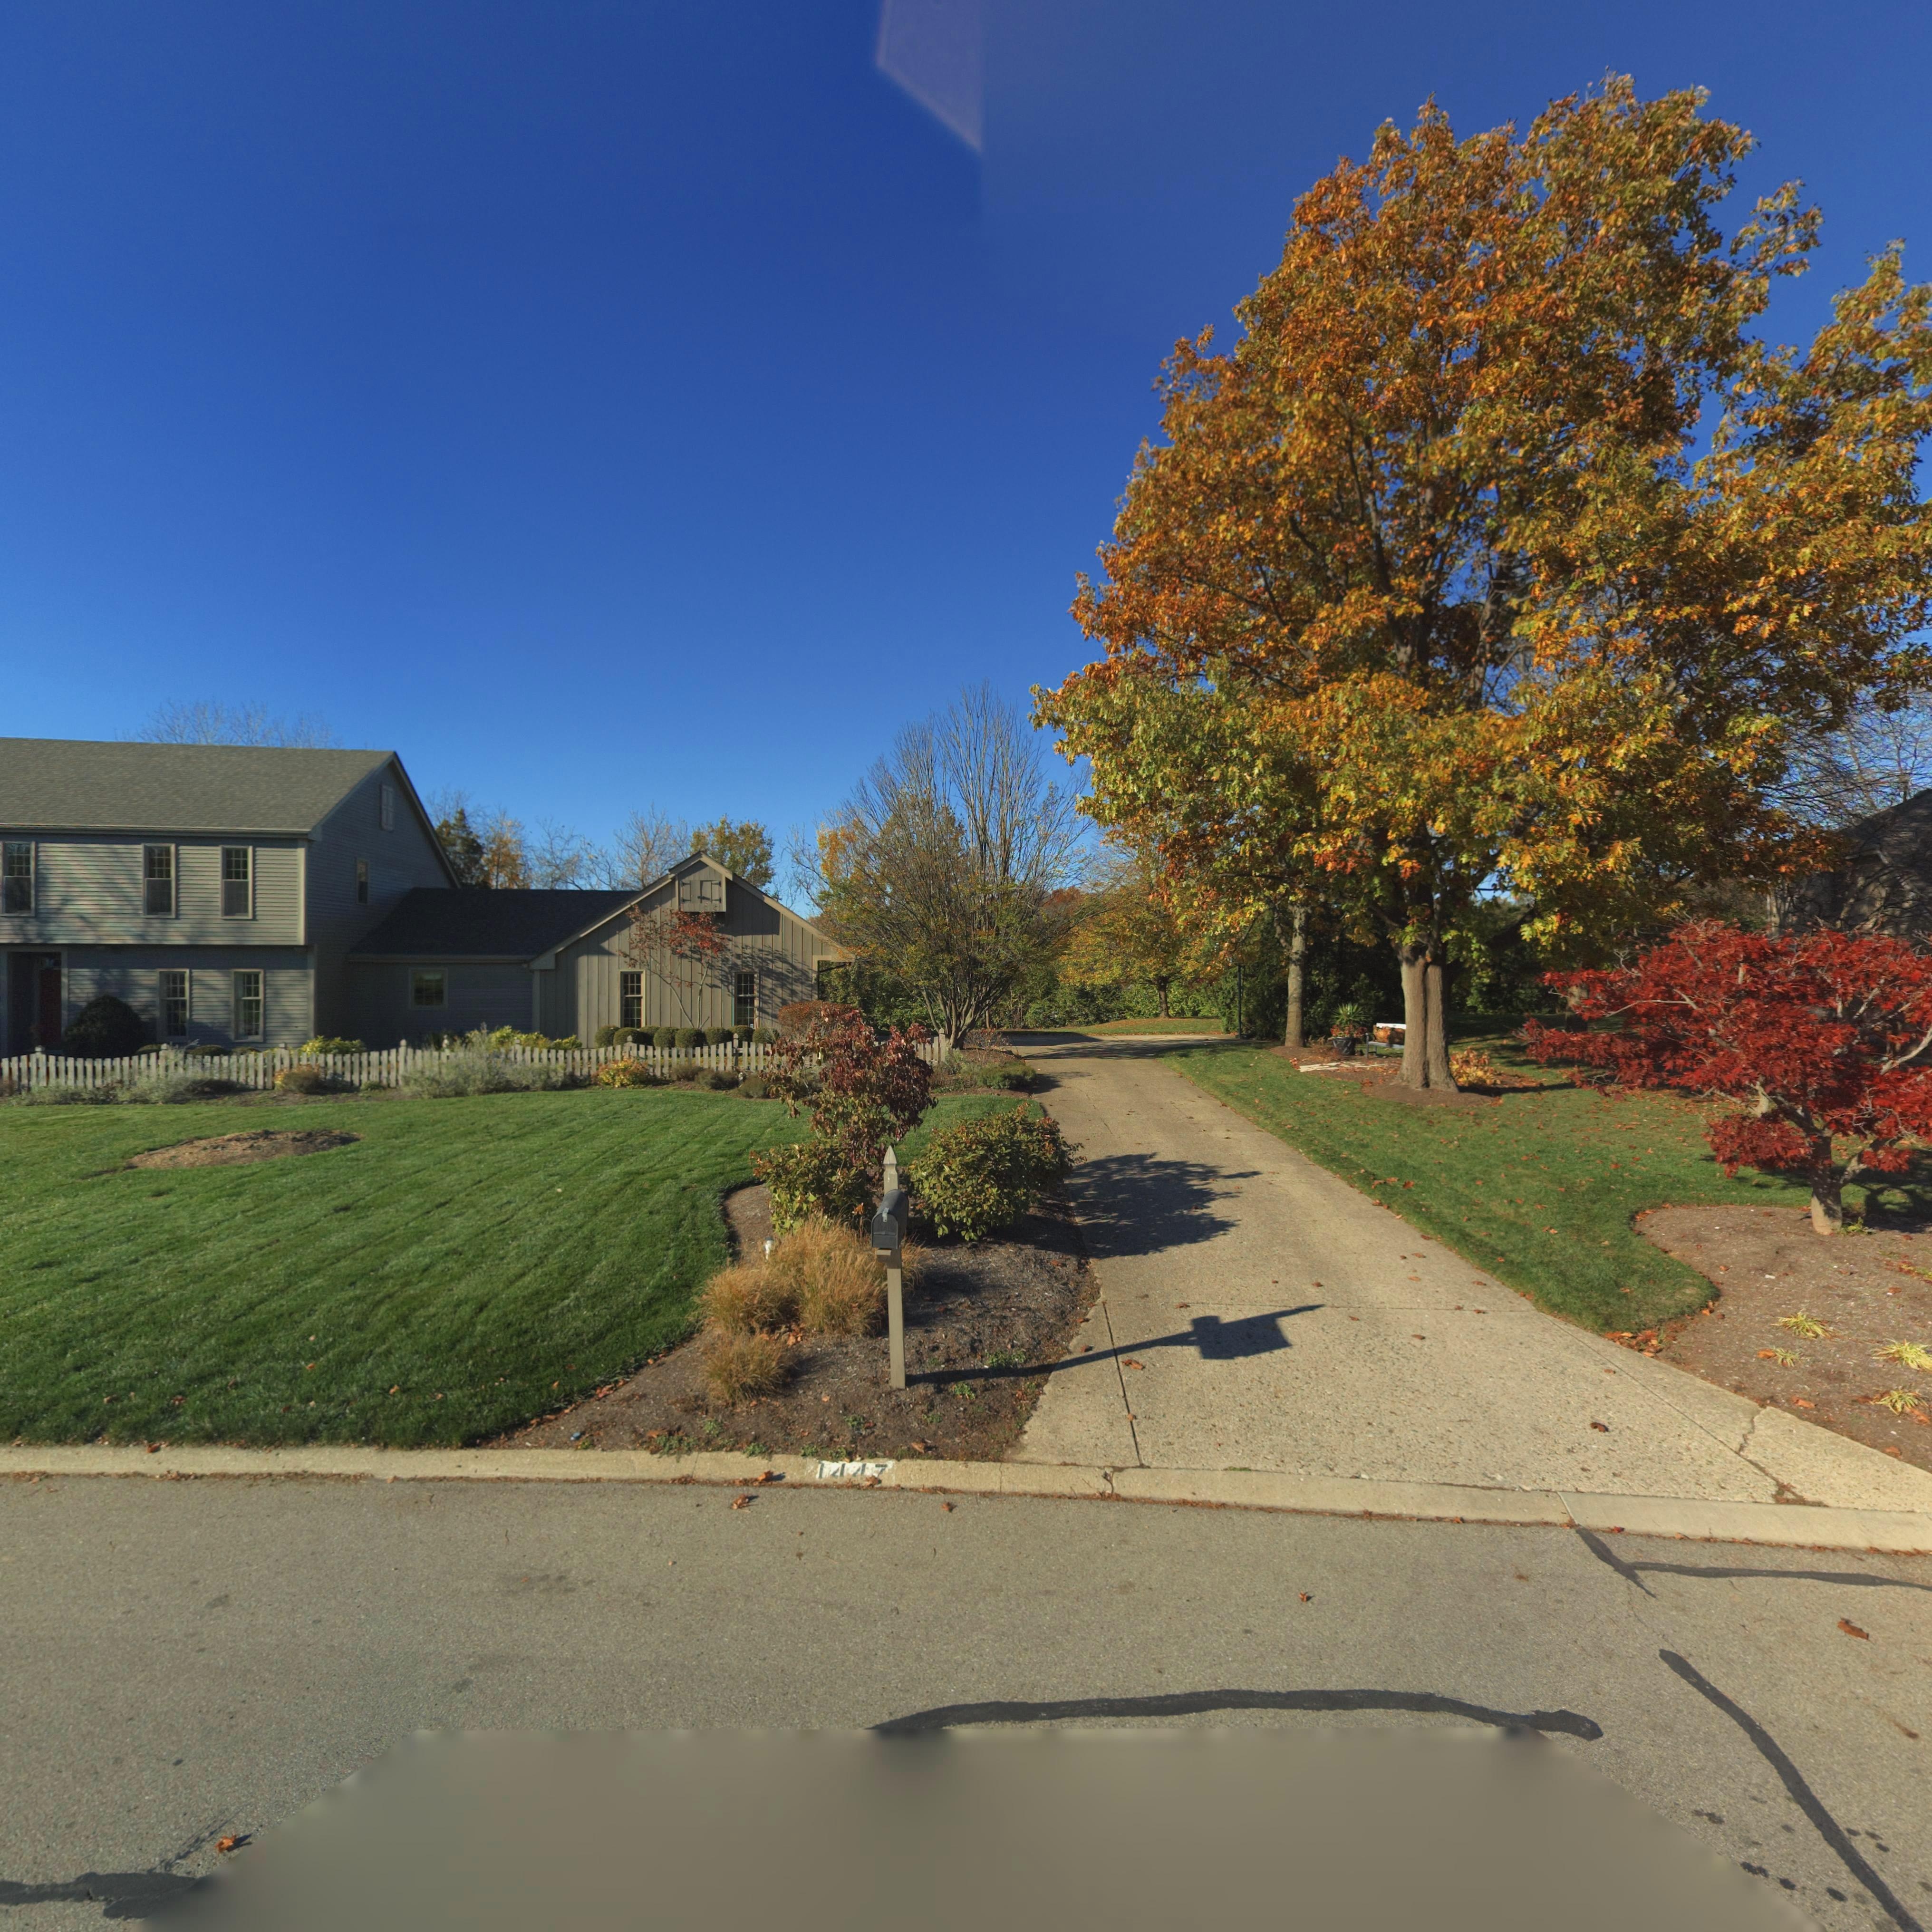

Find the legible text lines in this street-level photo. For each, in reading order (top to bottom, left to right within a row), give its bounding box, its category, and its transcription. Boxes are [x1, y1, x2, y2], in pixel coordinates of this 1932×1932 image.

[815, 1461, 892, 1482] StreetNumber: 1447